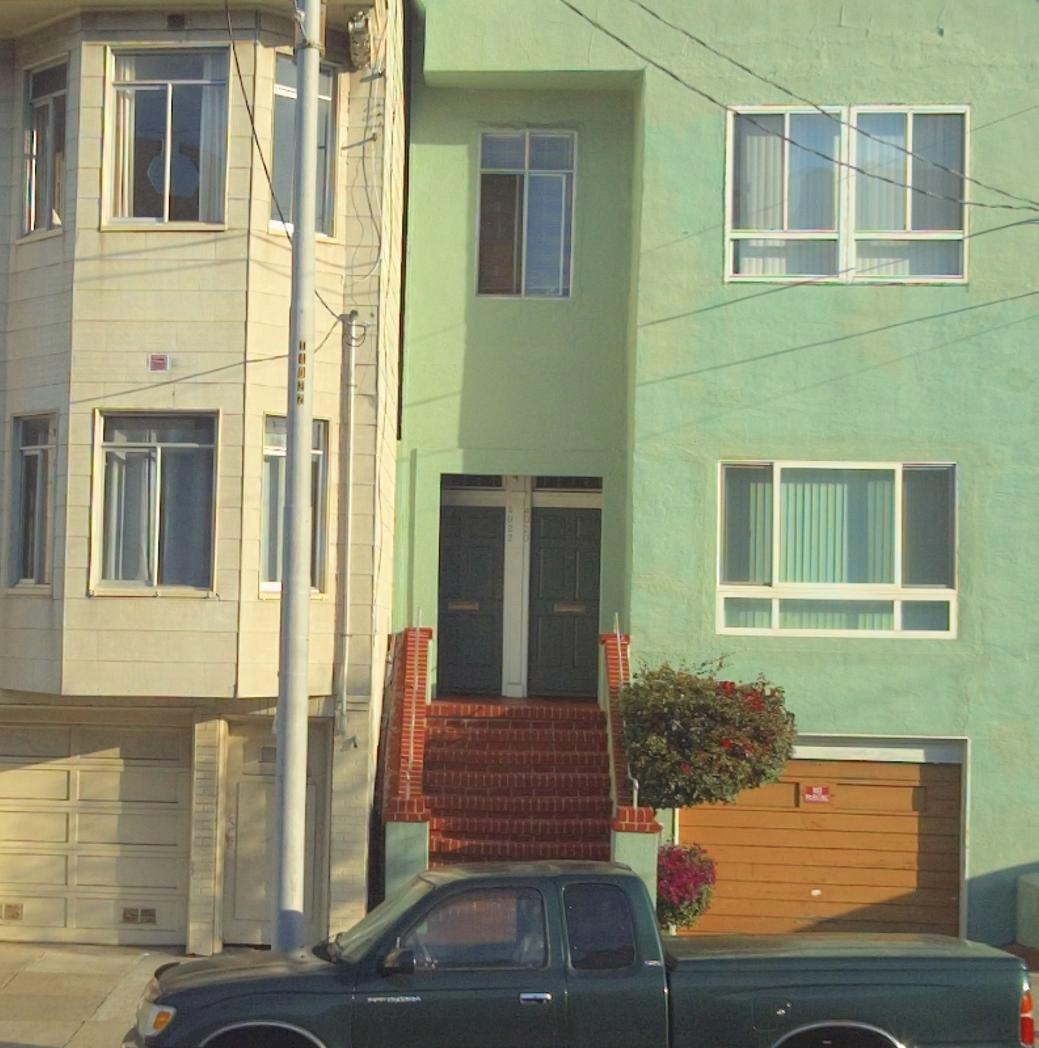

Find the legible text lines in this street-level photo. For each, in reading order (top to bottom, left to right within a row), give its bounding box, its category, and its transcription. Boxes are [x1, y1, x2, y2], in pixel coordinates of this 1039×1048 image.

[295, 339, 307, 407] None: *402*
[504, 502, 515, 544] StreetNumber: 4022
[521, 504, 531, 545] StreetNumber: 4020
[810, 785, 824, 797] None: NO